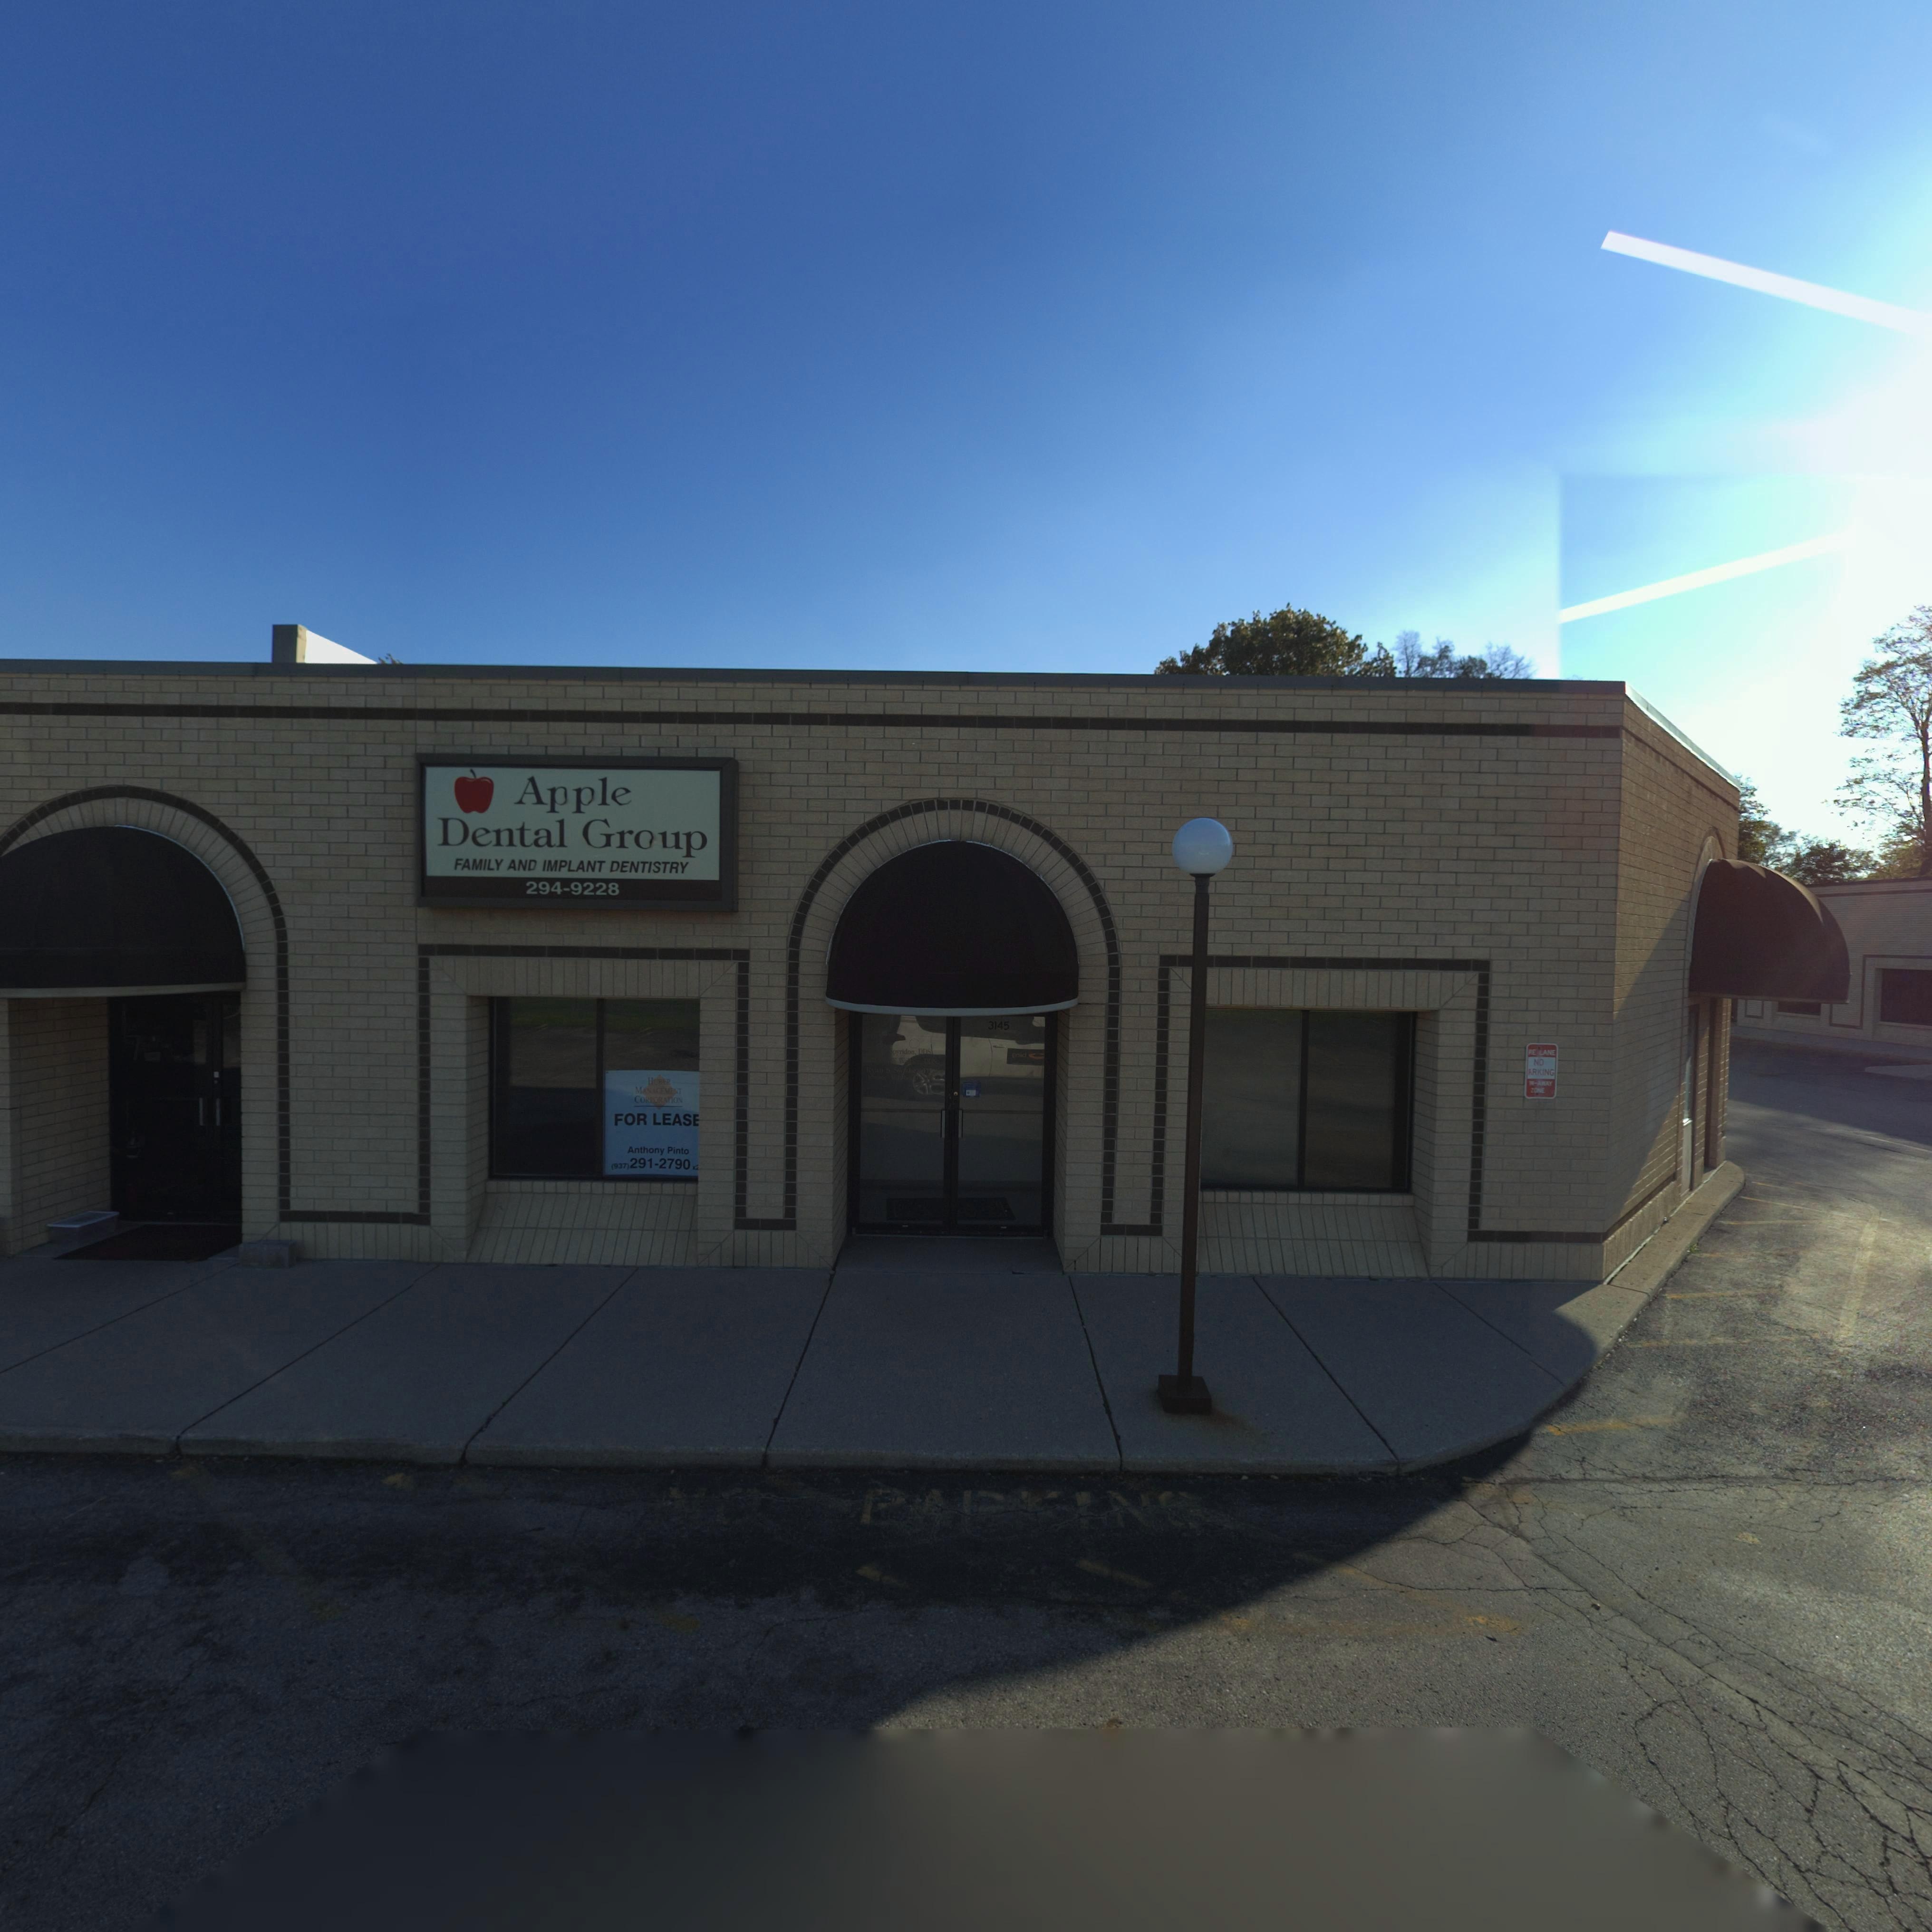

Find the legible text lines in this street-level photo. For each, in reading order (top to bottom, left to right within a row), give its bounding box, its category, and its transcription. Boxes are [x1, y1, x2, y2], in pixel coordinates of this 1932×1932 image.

[511, 774, 634, 816] BusinessName: Apple
[435, 815, 709, 860] BusinessName: Dental Group
[987, 1020, 1010, 1031] StreetNumber: 3145